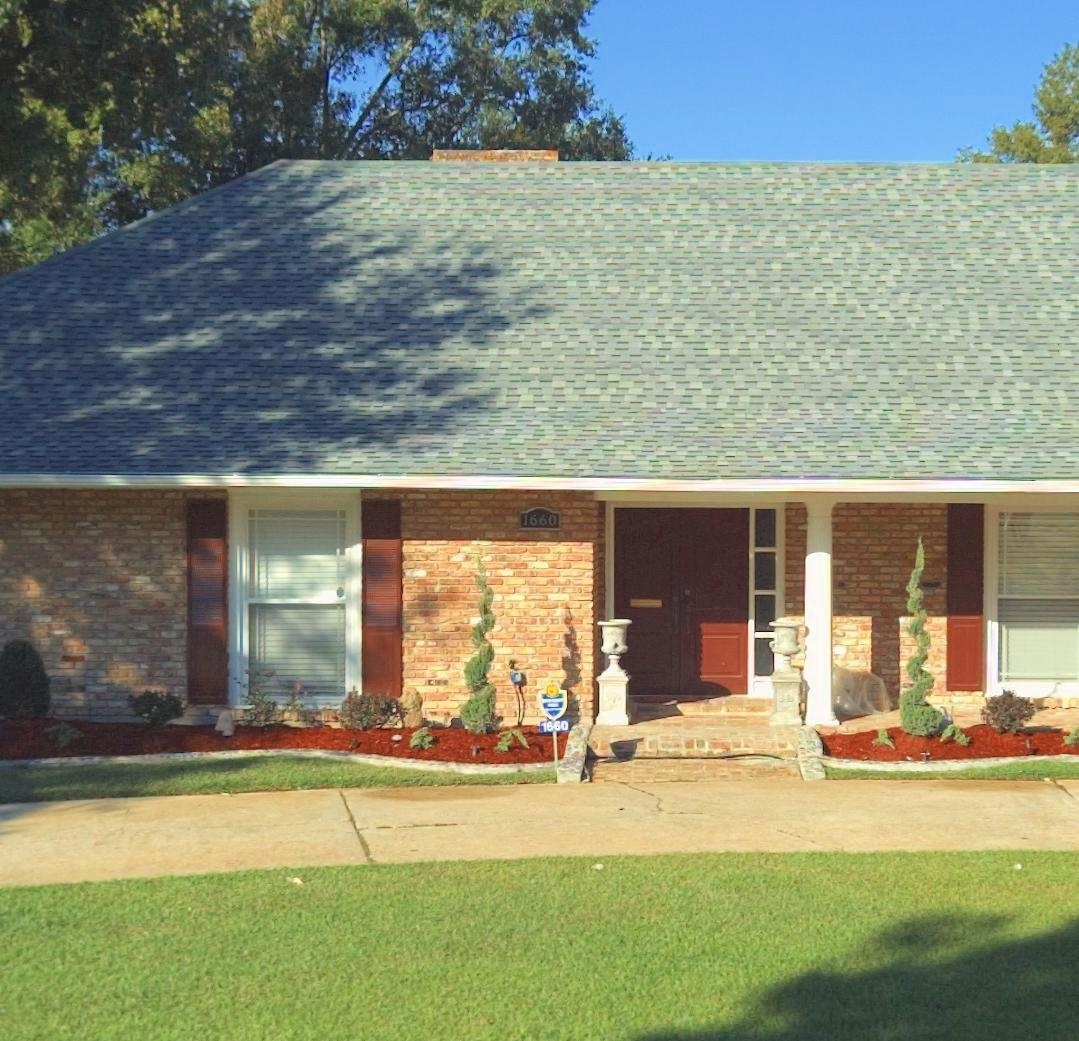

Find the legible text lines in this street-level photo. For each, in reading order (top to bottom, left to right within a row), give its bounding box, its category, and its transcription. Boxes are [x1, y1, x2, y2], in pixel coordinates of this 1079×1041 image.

[521, 512, 559, 528] StreetNumber: 1660
[540, 719, 570, 734] StreetNumber: 1660